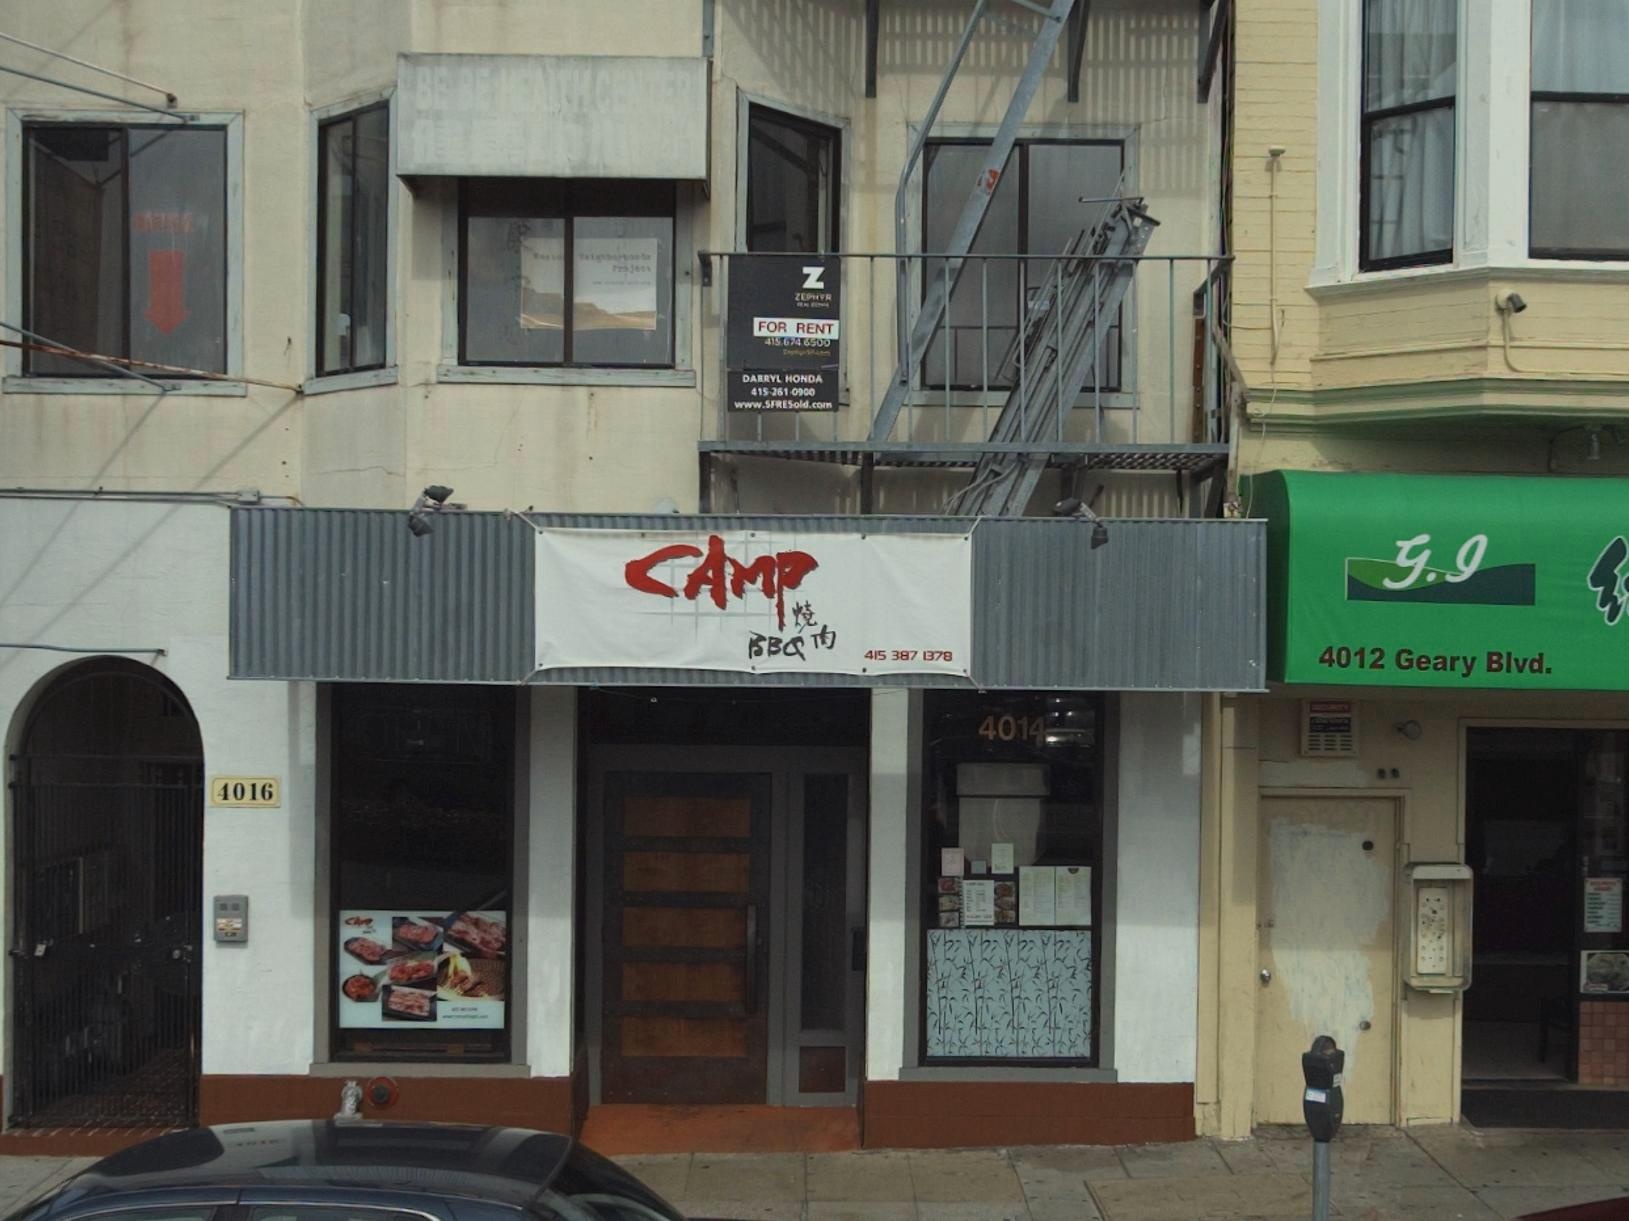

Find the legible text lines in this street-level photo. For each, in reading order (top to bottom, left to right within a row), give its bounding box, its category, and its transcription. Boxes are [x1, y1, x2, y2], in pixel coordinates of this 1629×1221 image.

[575, 251, 653, 265] None: Neighborhoods
[609, 261, 656, 277] None: Project
[798, 264, 828, 292] None: Z
[791, 291, 834, 303] None: ZEPHYR
[756, 319, 836, 338] None: FOR RENT
[759, 335, 832, 349] None: 415.674.6500
[738, 371, 825, 384] None: DARRYL HONDA
[747, 384, 817, 398] None: 415-261-0900
[730, 398, 835, 410] None: www.SFRESold.com
[1378, 529, 1493, 594] None: G.I
[621, 533, 823, 634] BusinessName: CAMP
[746, 627, 811, 666] BusinessName: BBQ
[860, 648, 955, 664] None: 415 387 1378
[1315, 643, 1388, 673] StreetNumber: 4012
[1389, 645, 1557, 680] StreetName: Geary Blvd.
[973, 713, 1050, 746] StreetNumber: 4014
[213, 779, 275, 805] StreetNumber: 4016